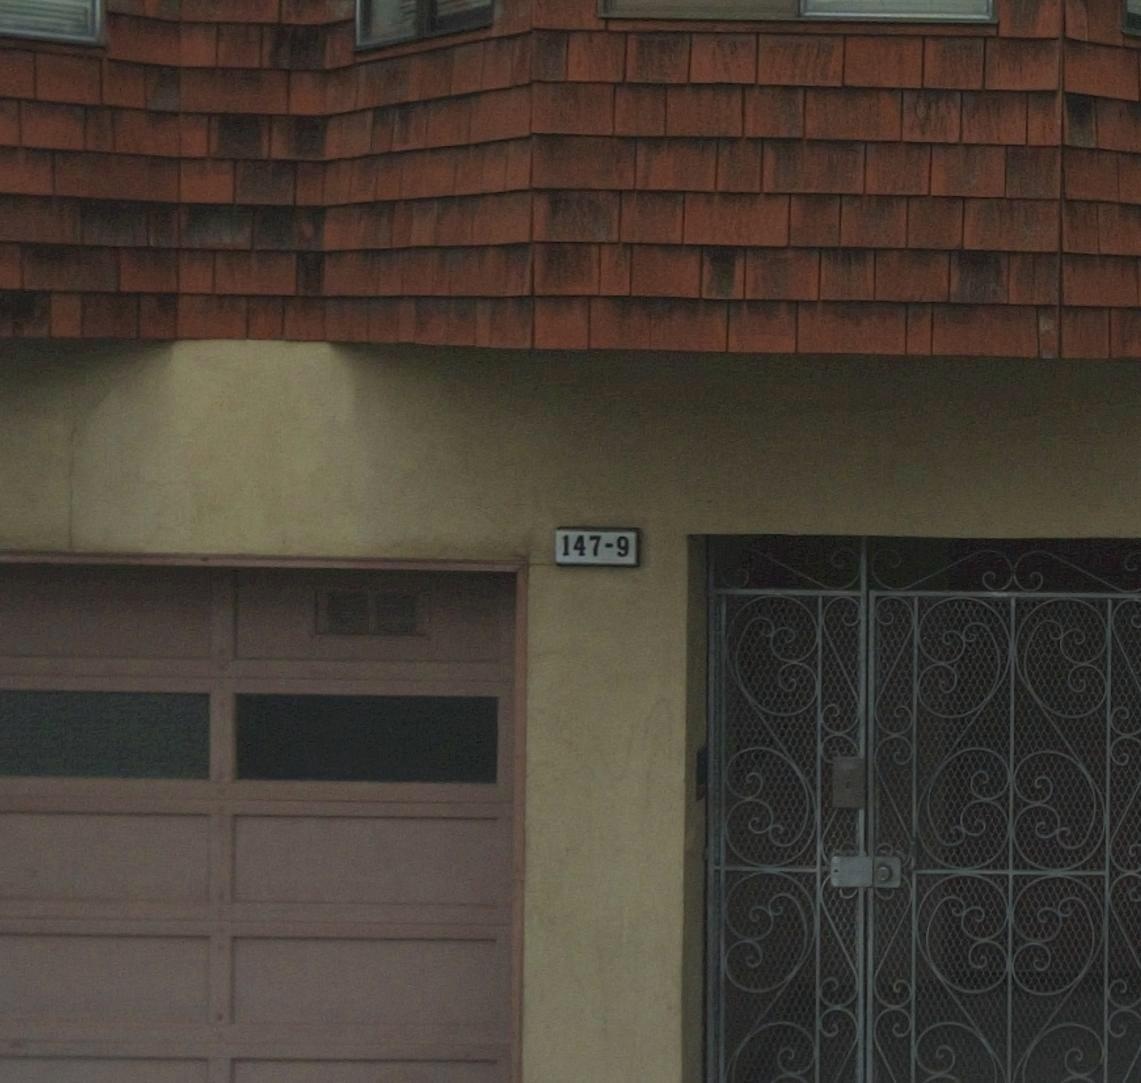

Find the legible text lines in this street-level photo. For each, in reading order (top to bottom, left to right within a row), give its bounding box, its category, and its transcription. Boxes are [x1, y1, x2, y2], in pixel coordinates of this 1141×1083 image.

[559, 533, 631, 559] StreetNumber: 147-9